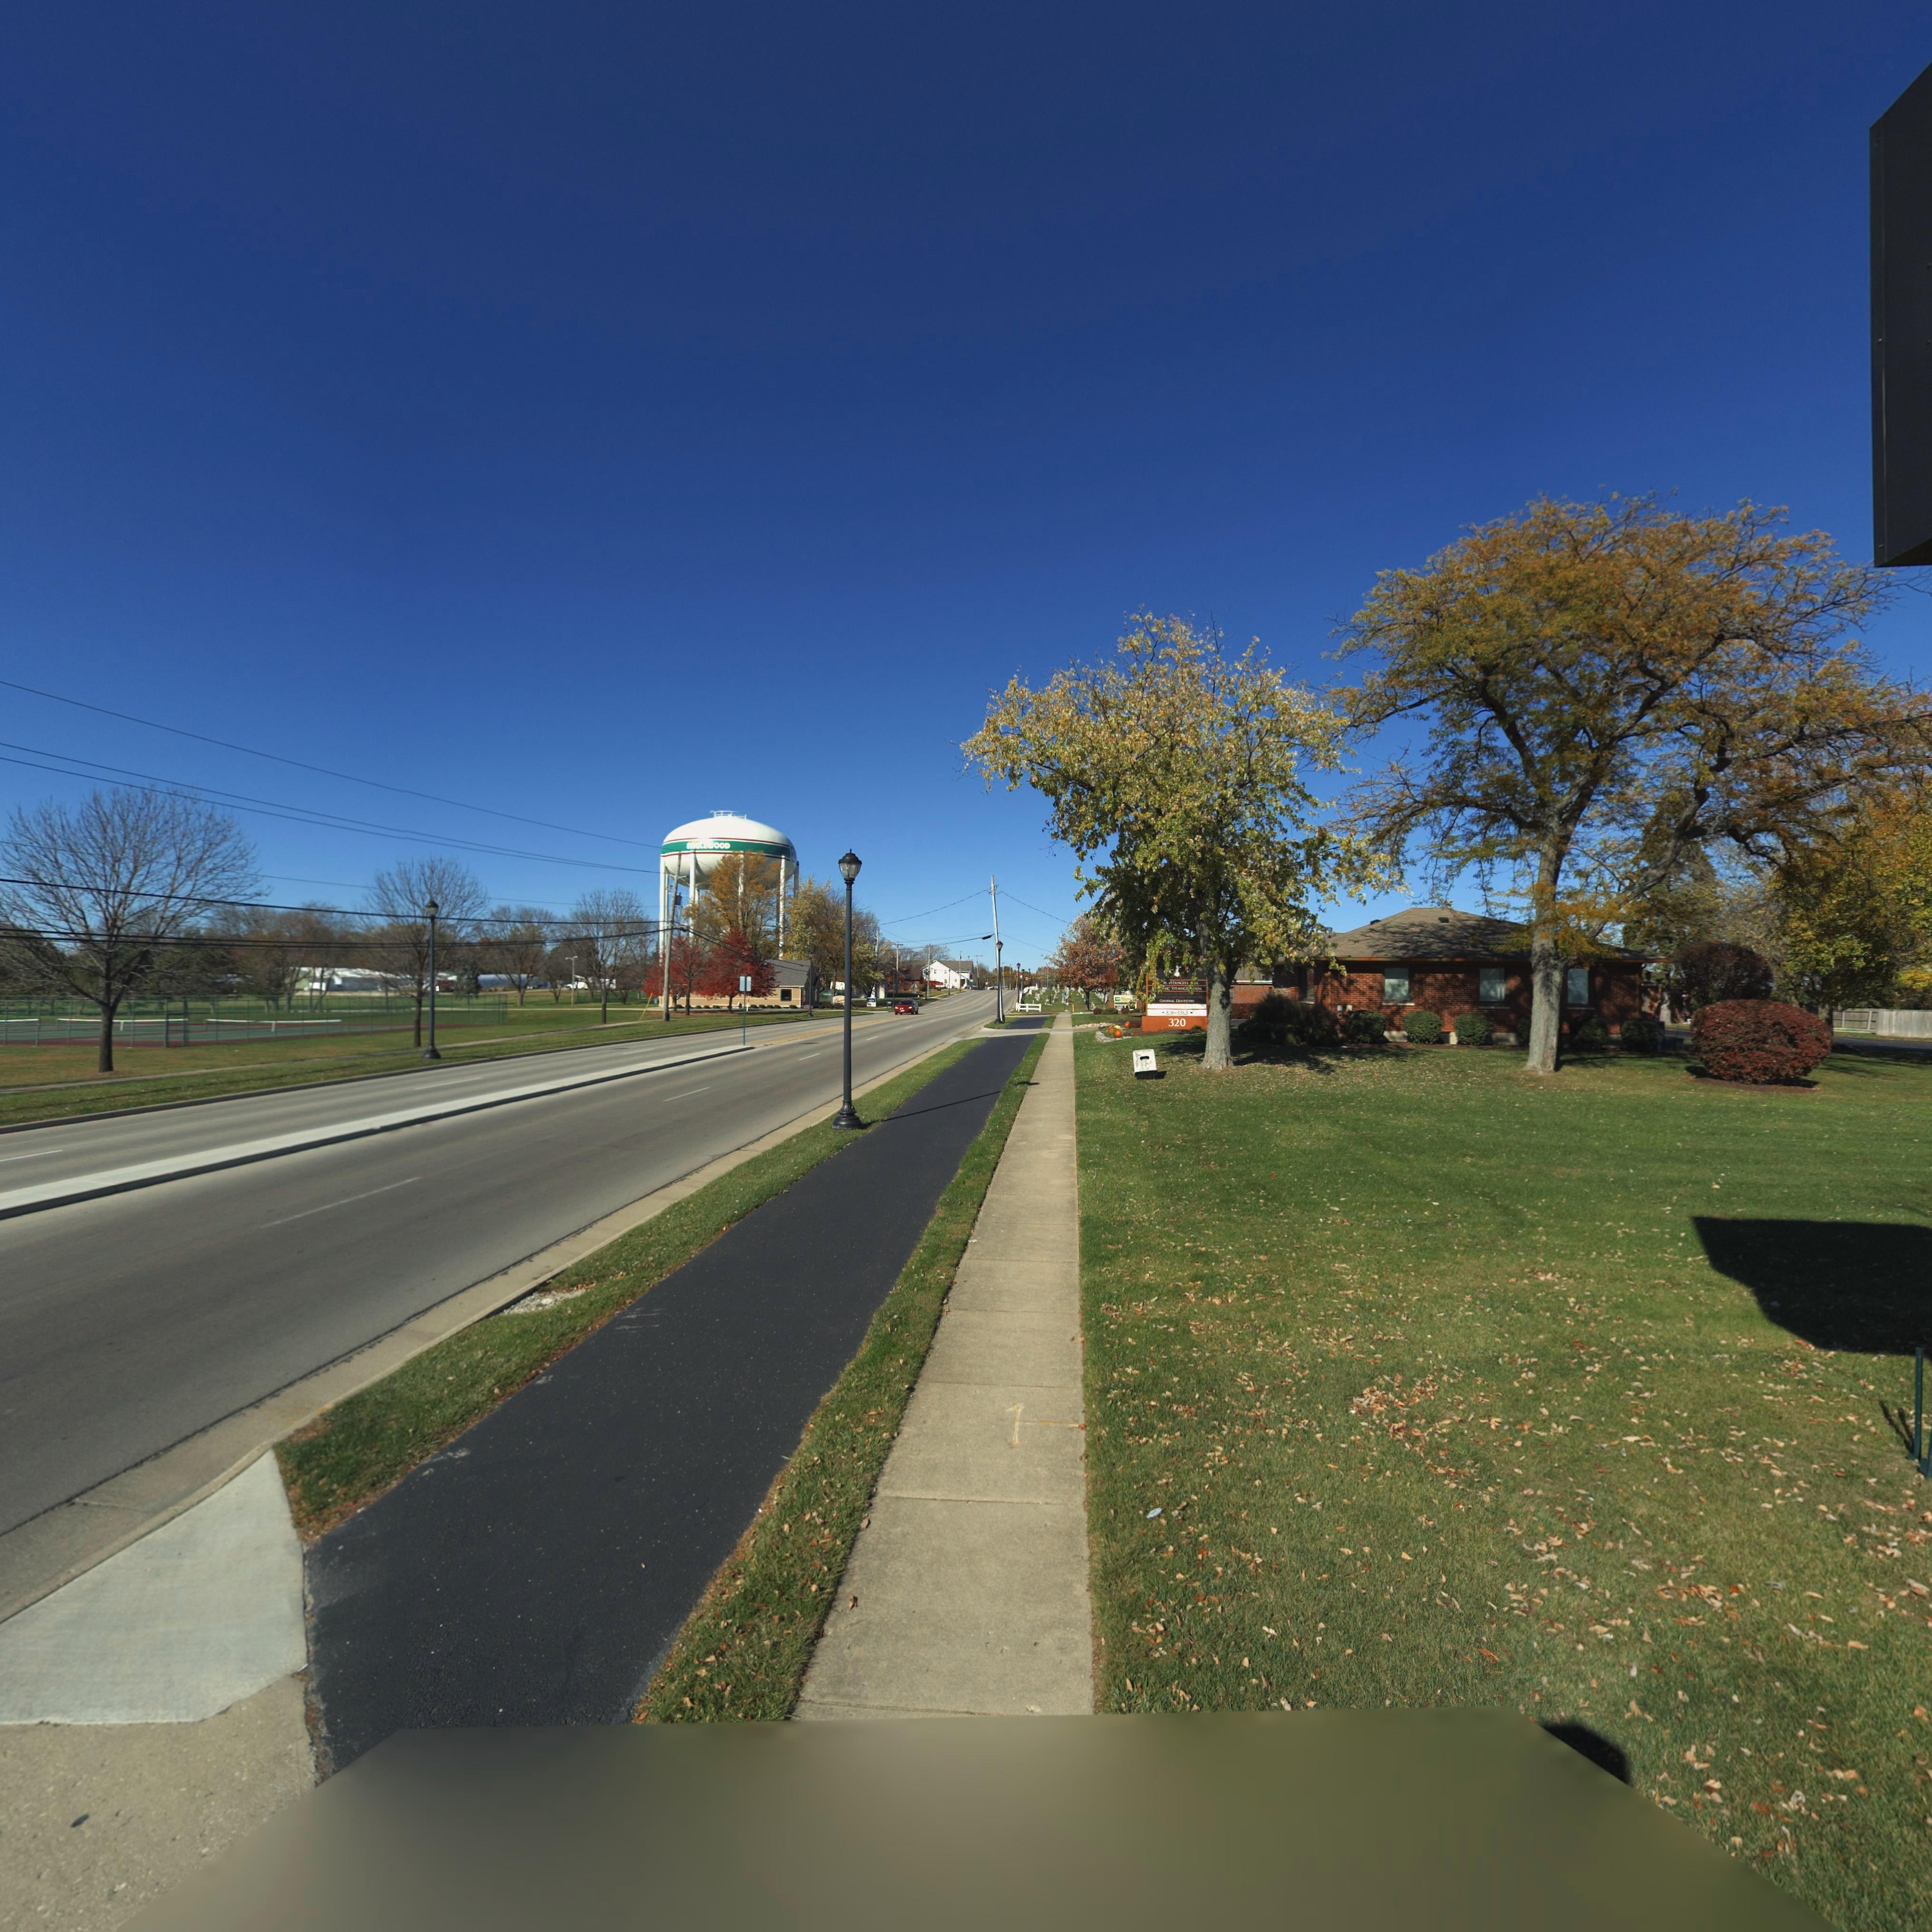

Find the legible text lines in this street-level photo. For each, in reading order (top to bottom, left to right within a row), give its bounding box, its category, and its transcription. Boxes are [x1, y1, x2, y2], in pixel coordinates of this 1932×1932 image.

[713, 841, 731, 850] None: OOD
[1170, 986, 1187, 991] None: VITANG
[1165, 1009, 1189, 1016] None: 836-*5*5
[1167, 1017, 1188, 1028] StreetNumber: 320